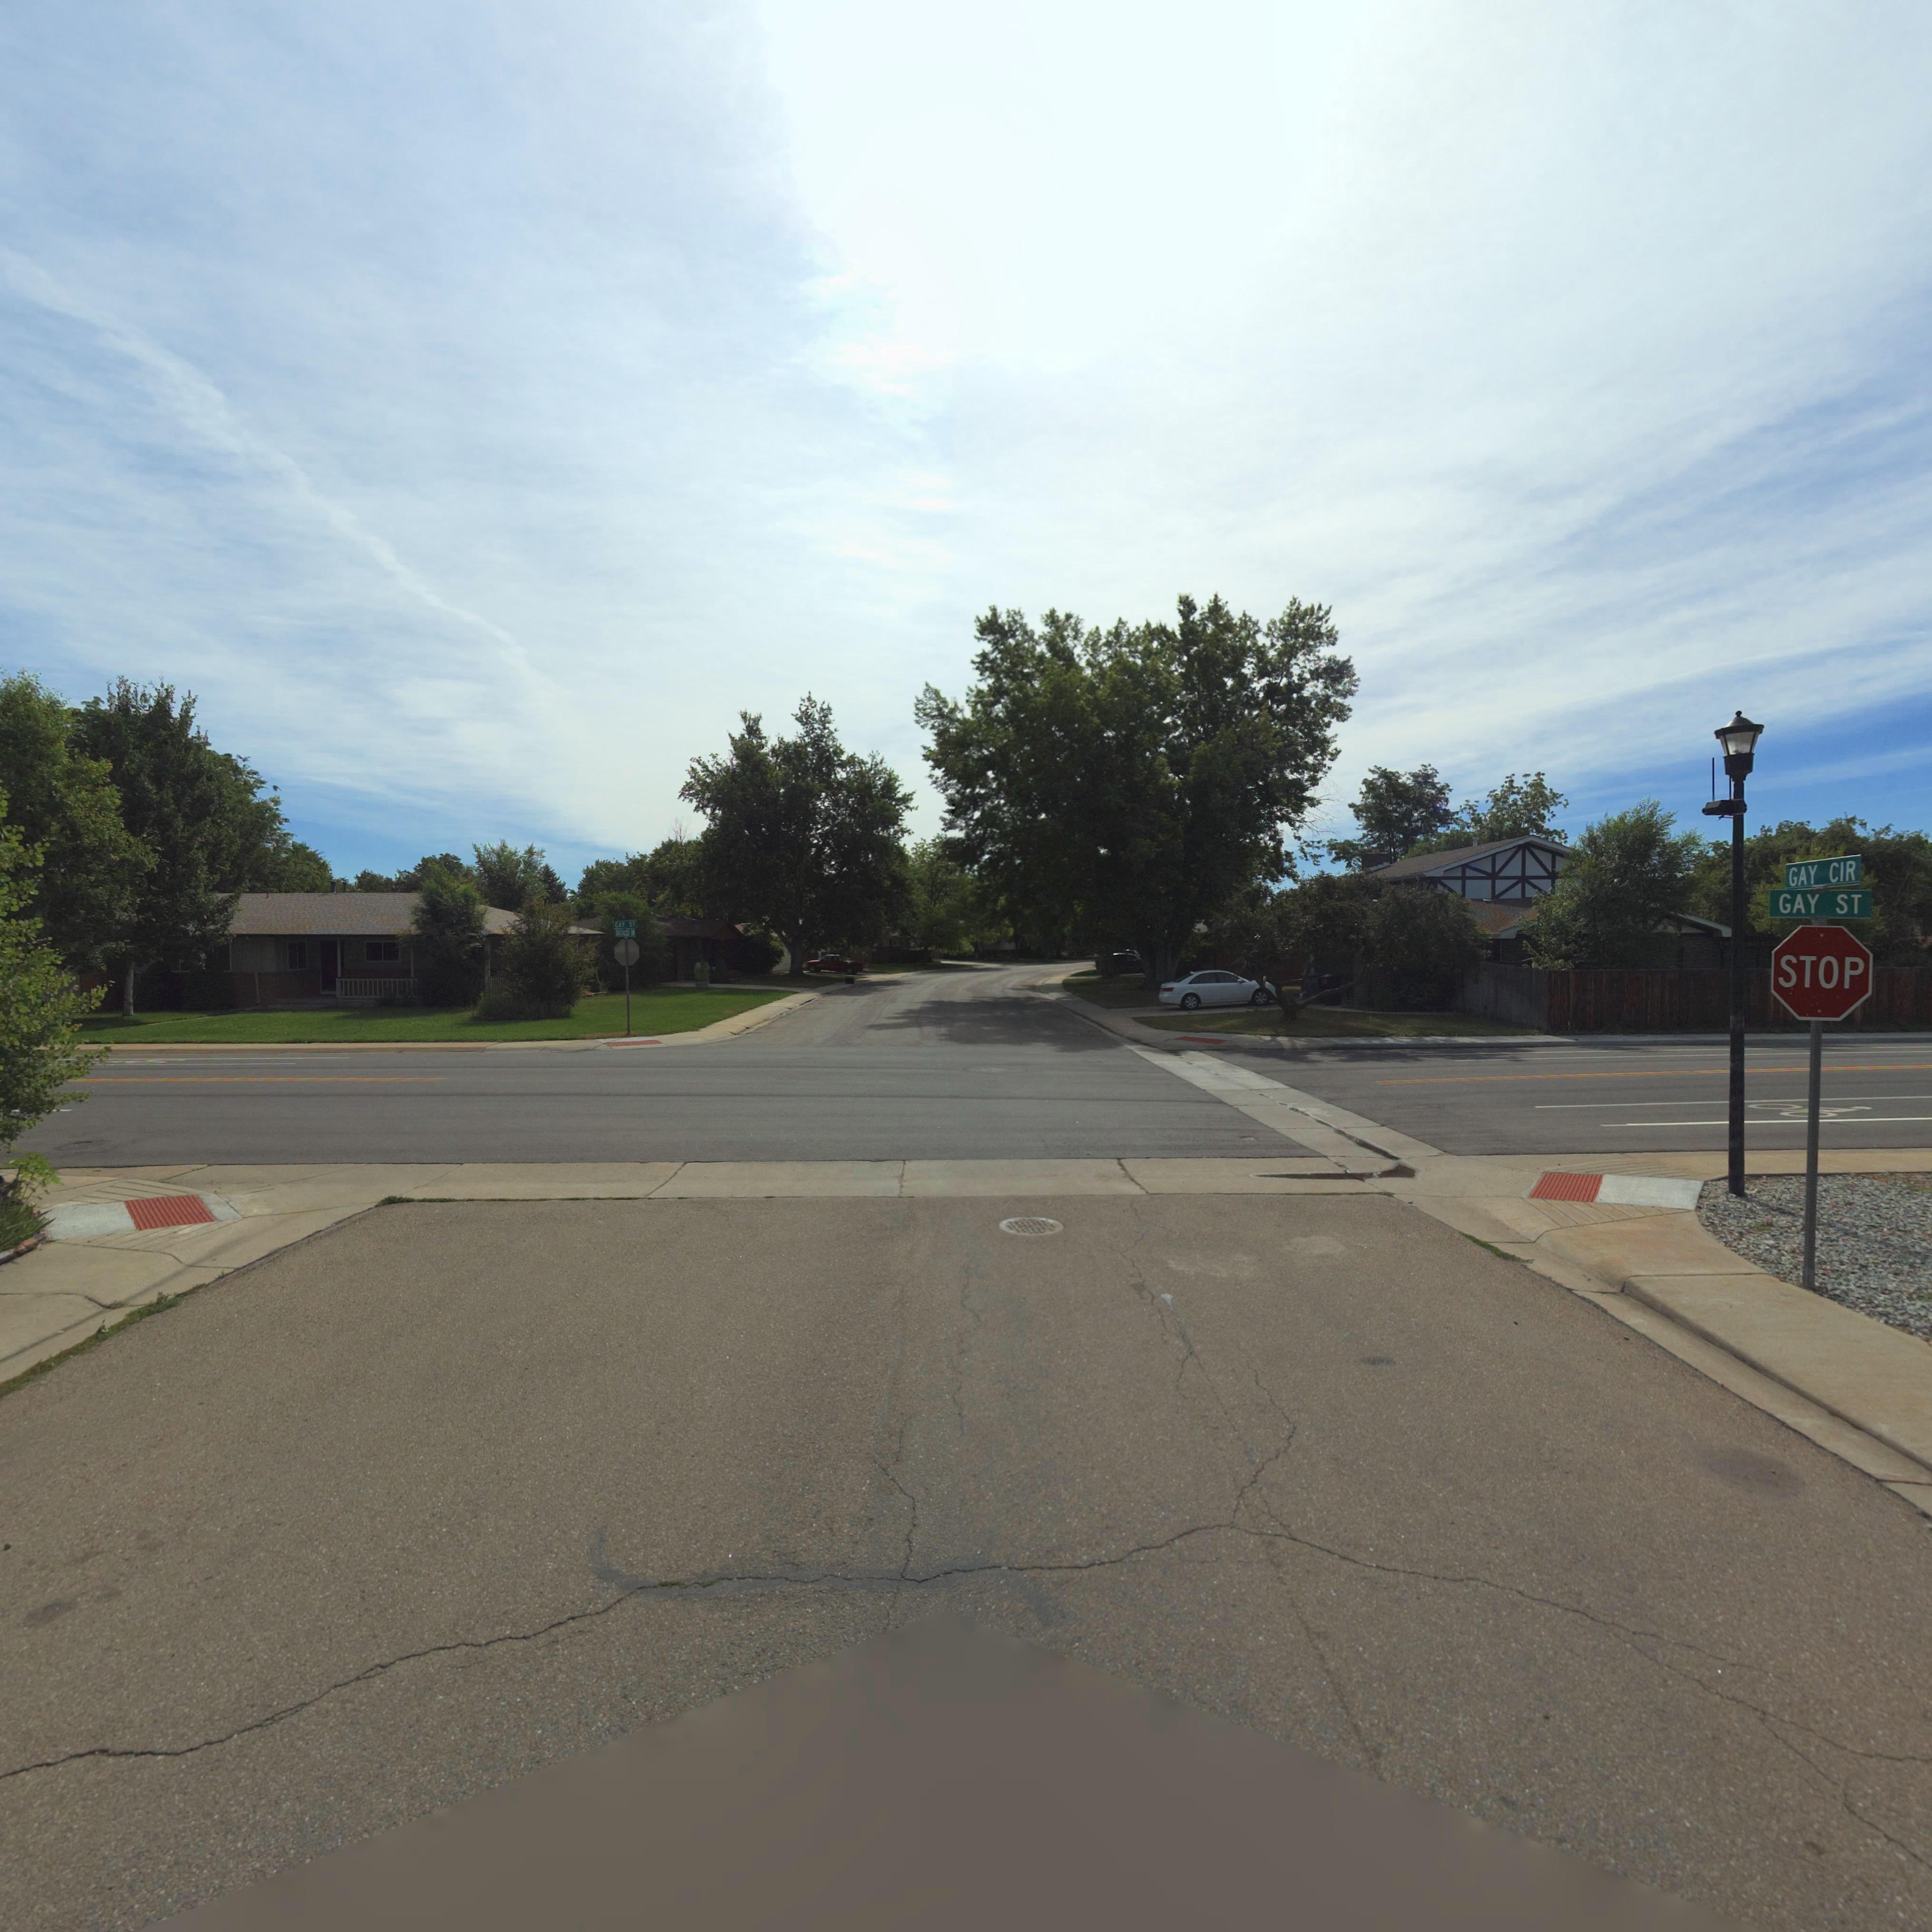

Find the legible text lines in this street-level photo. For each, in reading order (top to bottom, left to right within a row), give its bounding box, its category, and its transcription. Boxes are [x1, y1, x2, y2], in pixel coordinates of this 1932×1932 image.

[1788, 860, 1856, 887] StreetName: GAY CIR
[1778, 893, 1862, 915] StreetName: GAY ST
[615, 920, 636, 928] StreetName: GAY ST
[616, 929, 635, 936] StreetName: ****E*S *R